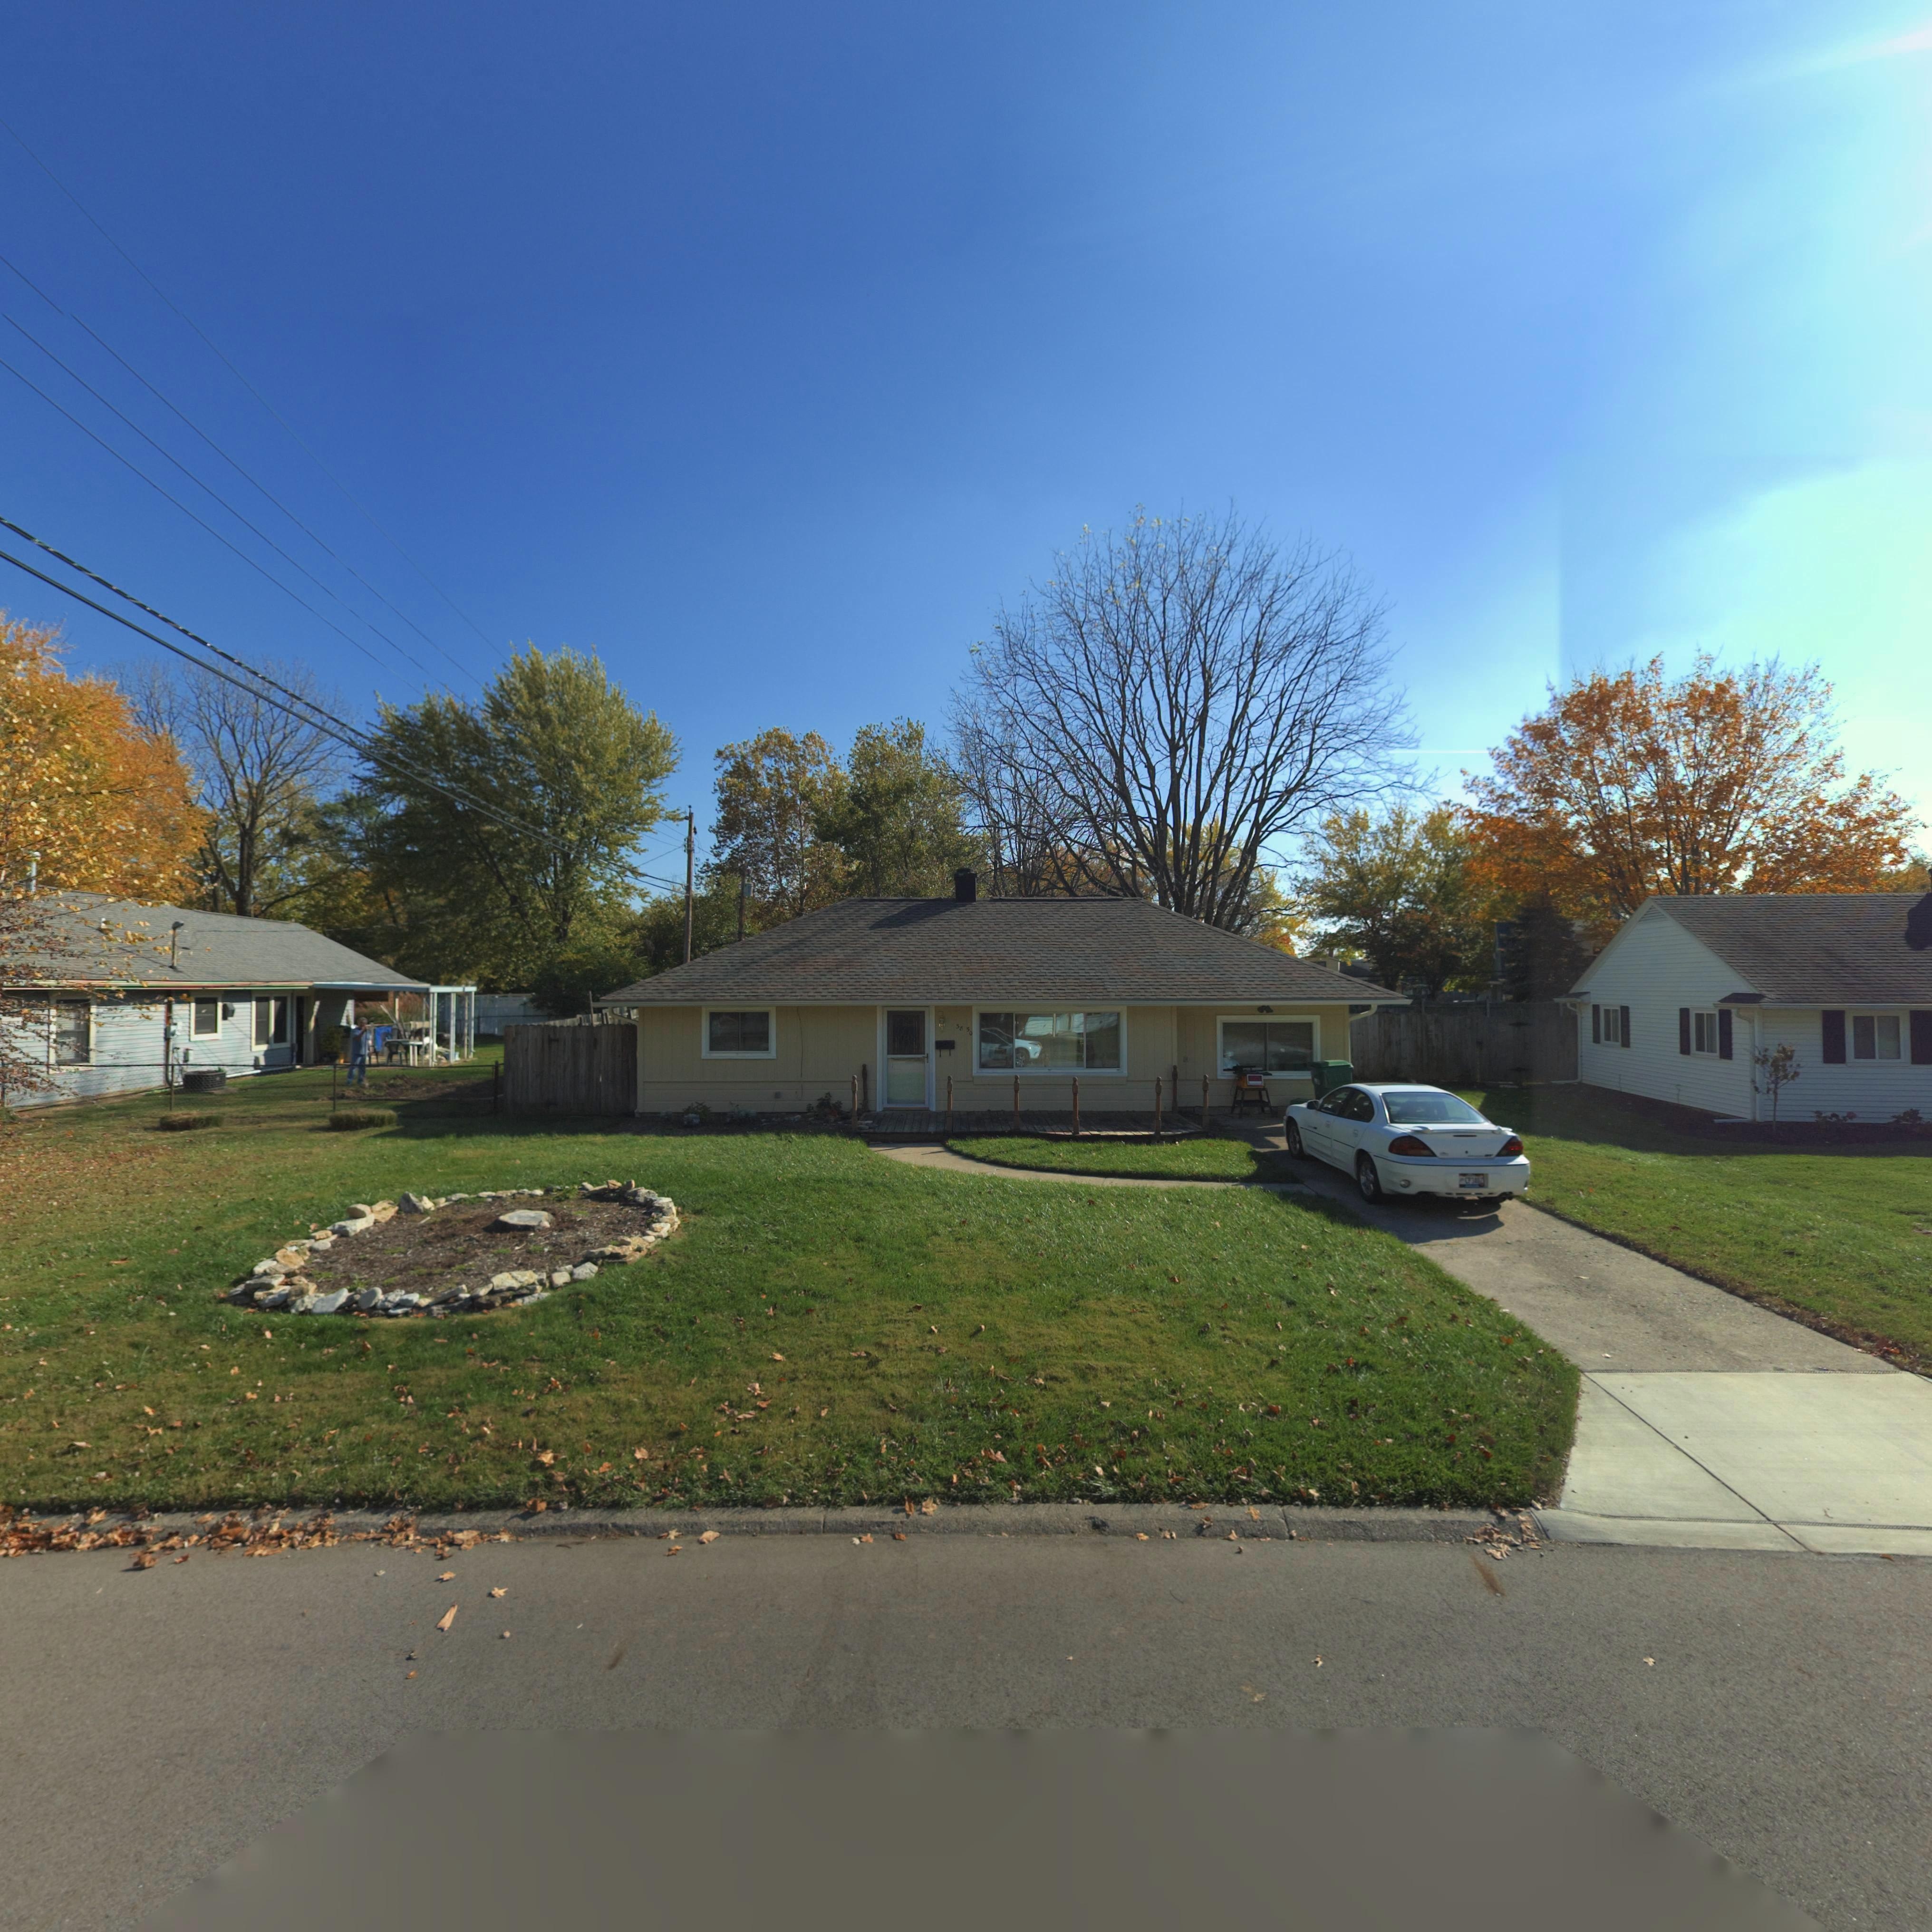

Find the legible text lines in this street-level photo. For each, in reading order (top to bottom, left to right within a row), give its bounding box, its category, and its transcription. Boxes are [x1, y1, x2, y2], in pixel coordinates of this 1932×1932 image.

[955, 1022, 974, 1037] StreetNumber: 38 50